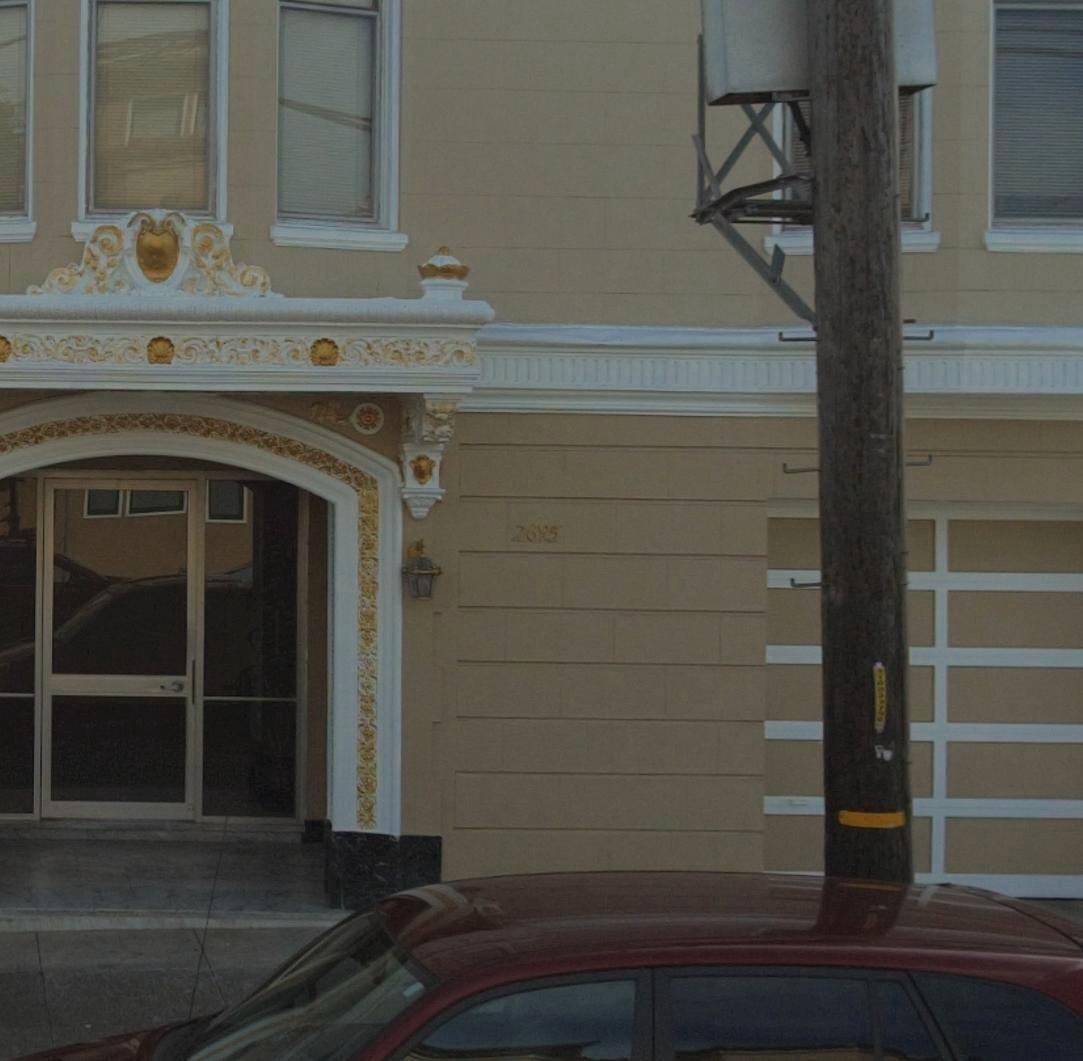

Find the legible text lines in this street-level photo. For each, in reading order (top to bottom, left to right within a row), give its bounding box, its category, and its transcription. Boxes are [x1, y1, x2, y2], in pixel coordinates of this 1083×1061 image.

[510, 521, 563, 546] StreetNumber: 2695